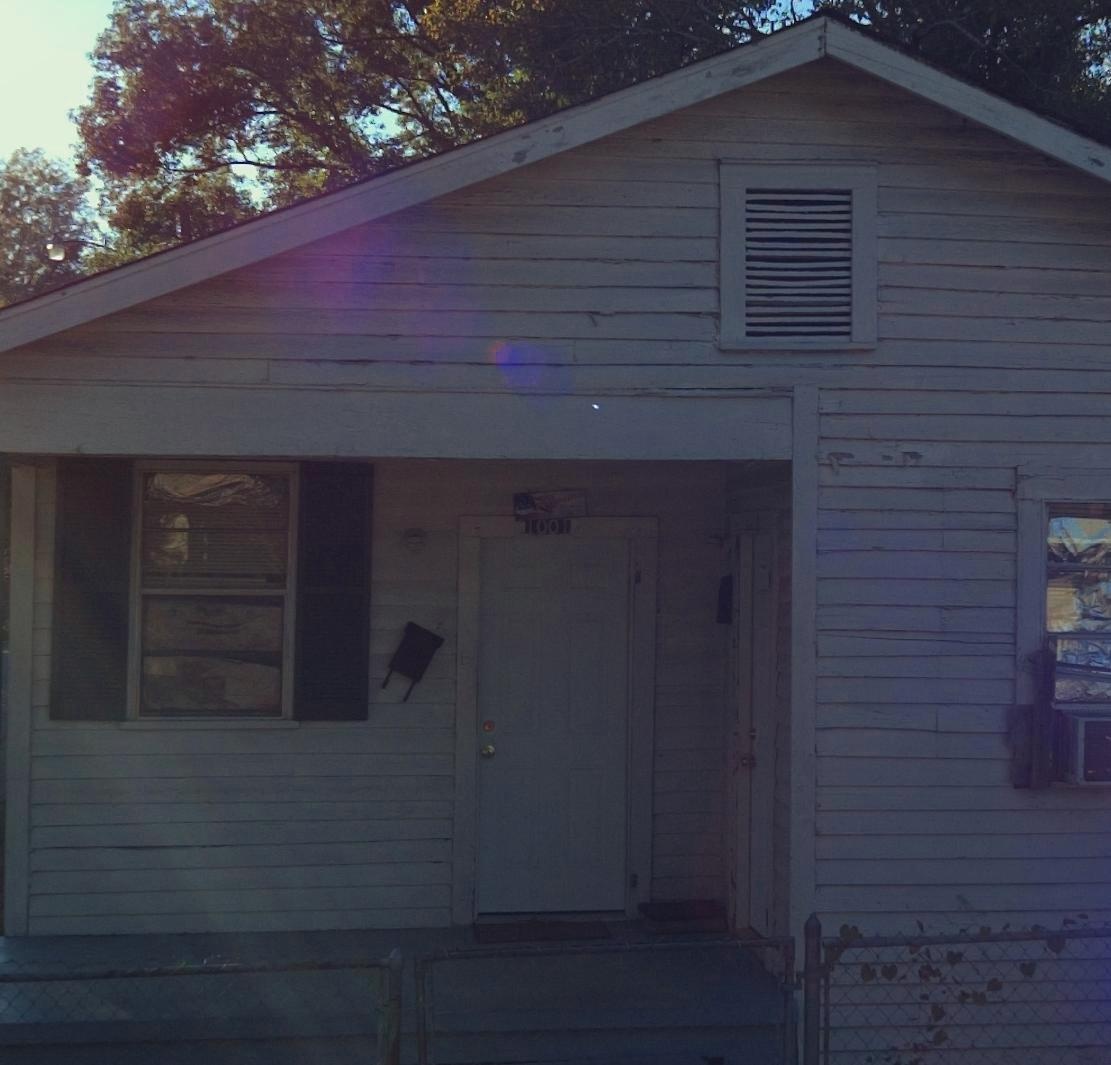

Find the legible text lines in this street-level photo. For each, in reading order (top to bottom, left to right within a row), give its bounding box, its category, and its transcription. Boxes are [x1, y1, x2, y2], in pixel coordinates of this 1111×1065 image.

[525, 515, 570, 537] StreetNumber: 1001